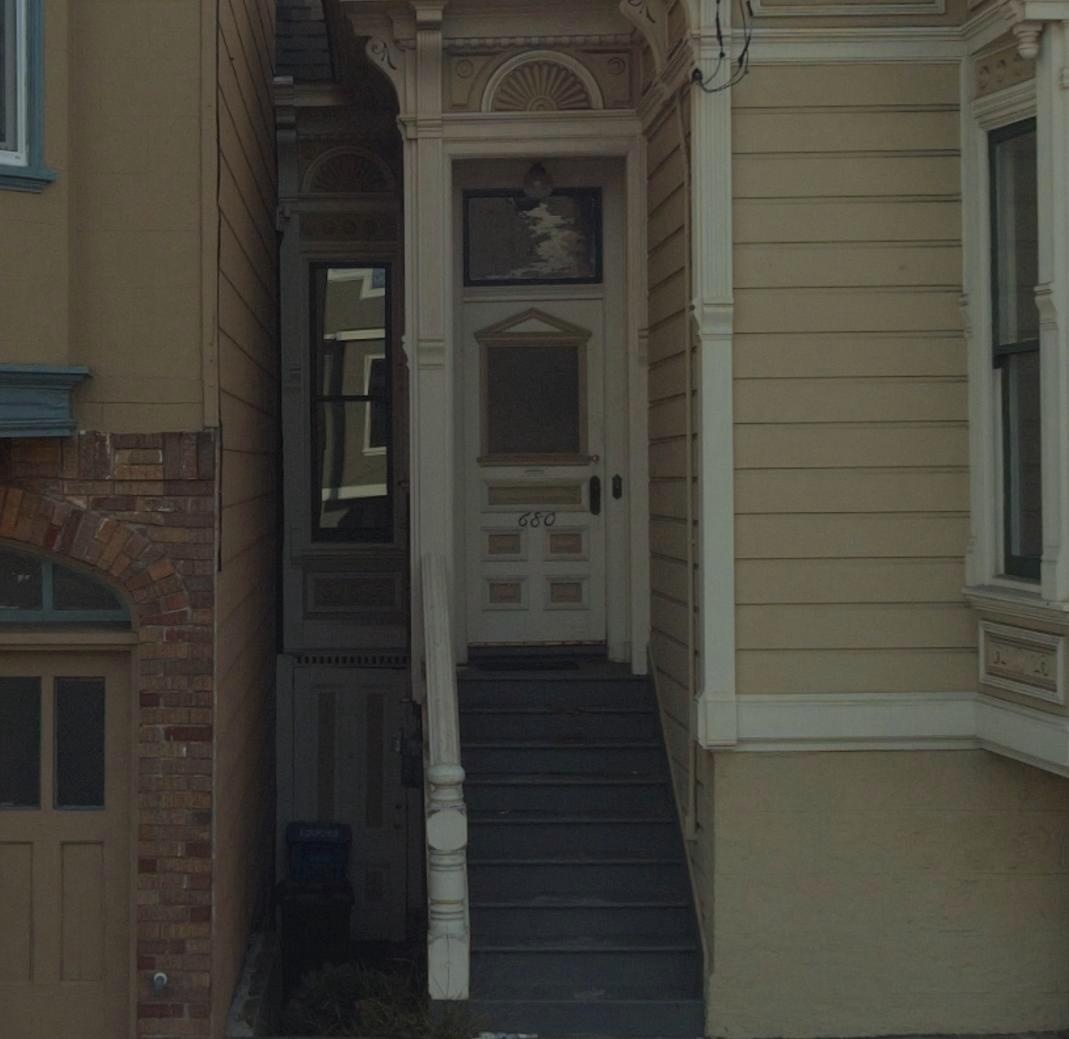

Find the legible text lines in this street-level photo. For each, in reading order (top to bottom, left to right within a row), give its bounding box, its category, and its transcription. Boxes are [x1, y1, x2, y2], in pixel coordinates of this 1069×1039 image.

[516, 509, 558, 530] StreetNumber: 680